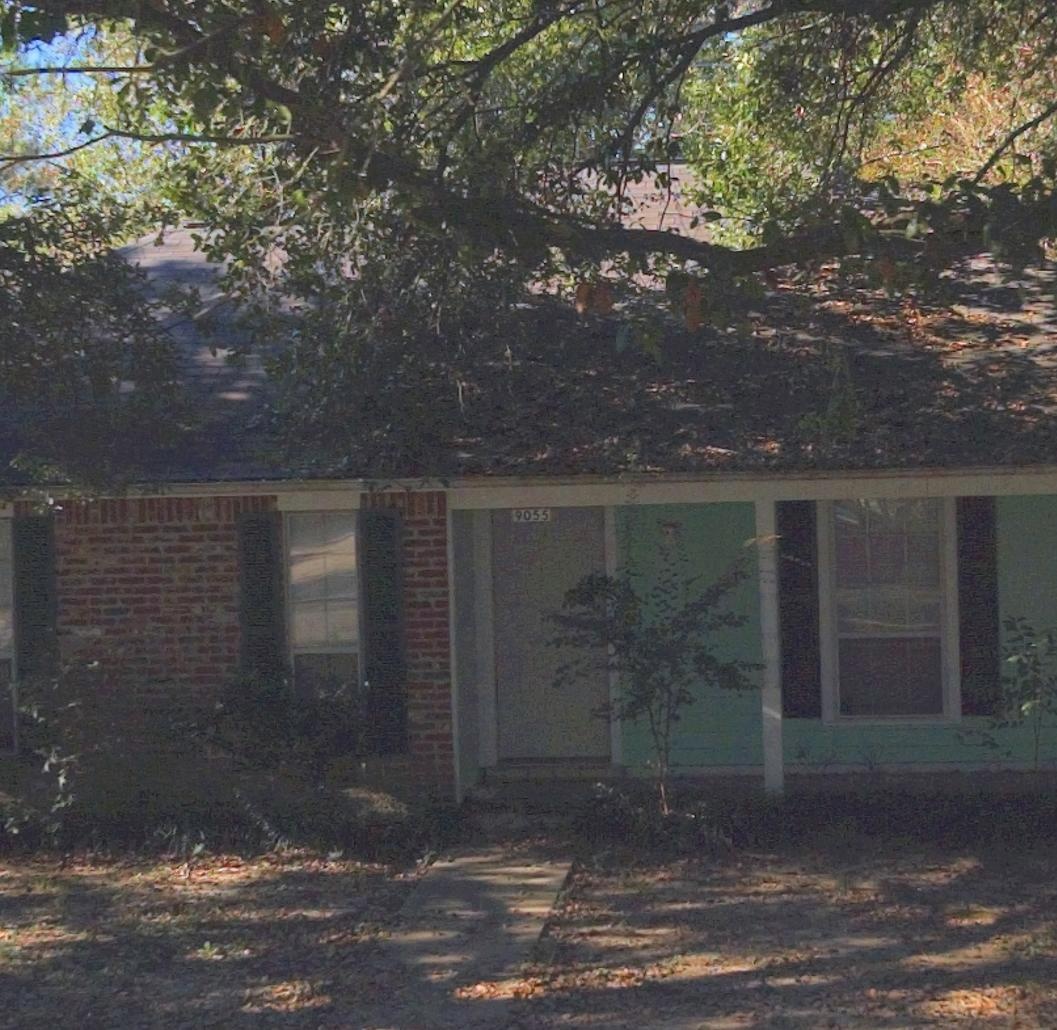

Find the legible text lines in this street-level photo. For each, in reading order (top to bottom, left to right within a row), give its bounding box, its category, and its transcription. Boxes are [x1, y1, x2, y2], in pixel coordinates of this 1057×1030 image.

[512, 508, 550, 522] StreetNumber: 9055